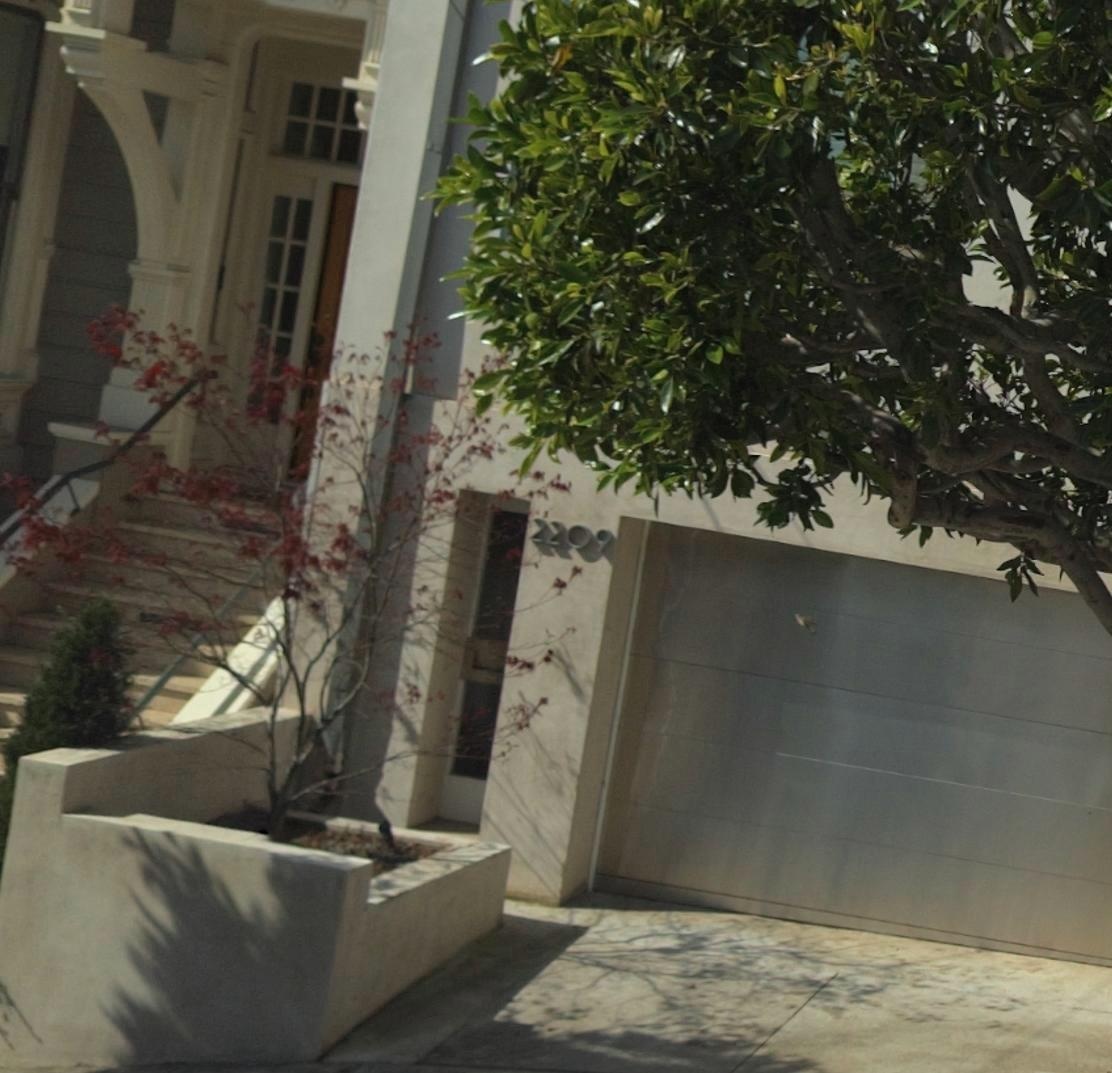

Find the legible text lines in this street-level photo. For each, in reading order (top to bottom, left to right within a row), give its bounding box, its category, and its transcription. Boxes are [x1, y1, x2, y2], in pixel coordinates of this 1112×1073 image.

[526, 516, 614, 556] StreetNumber: 2209